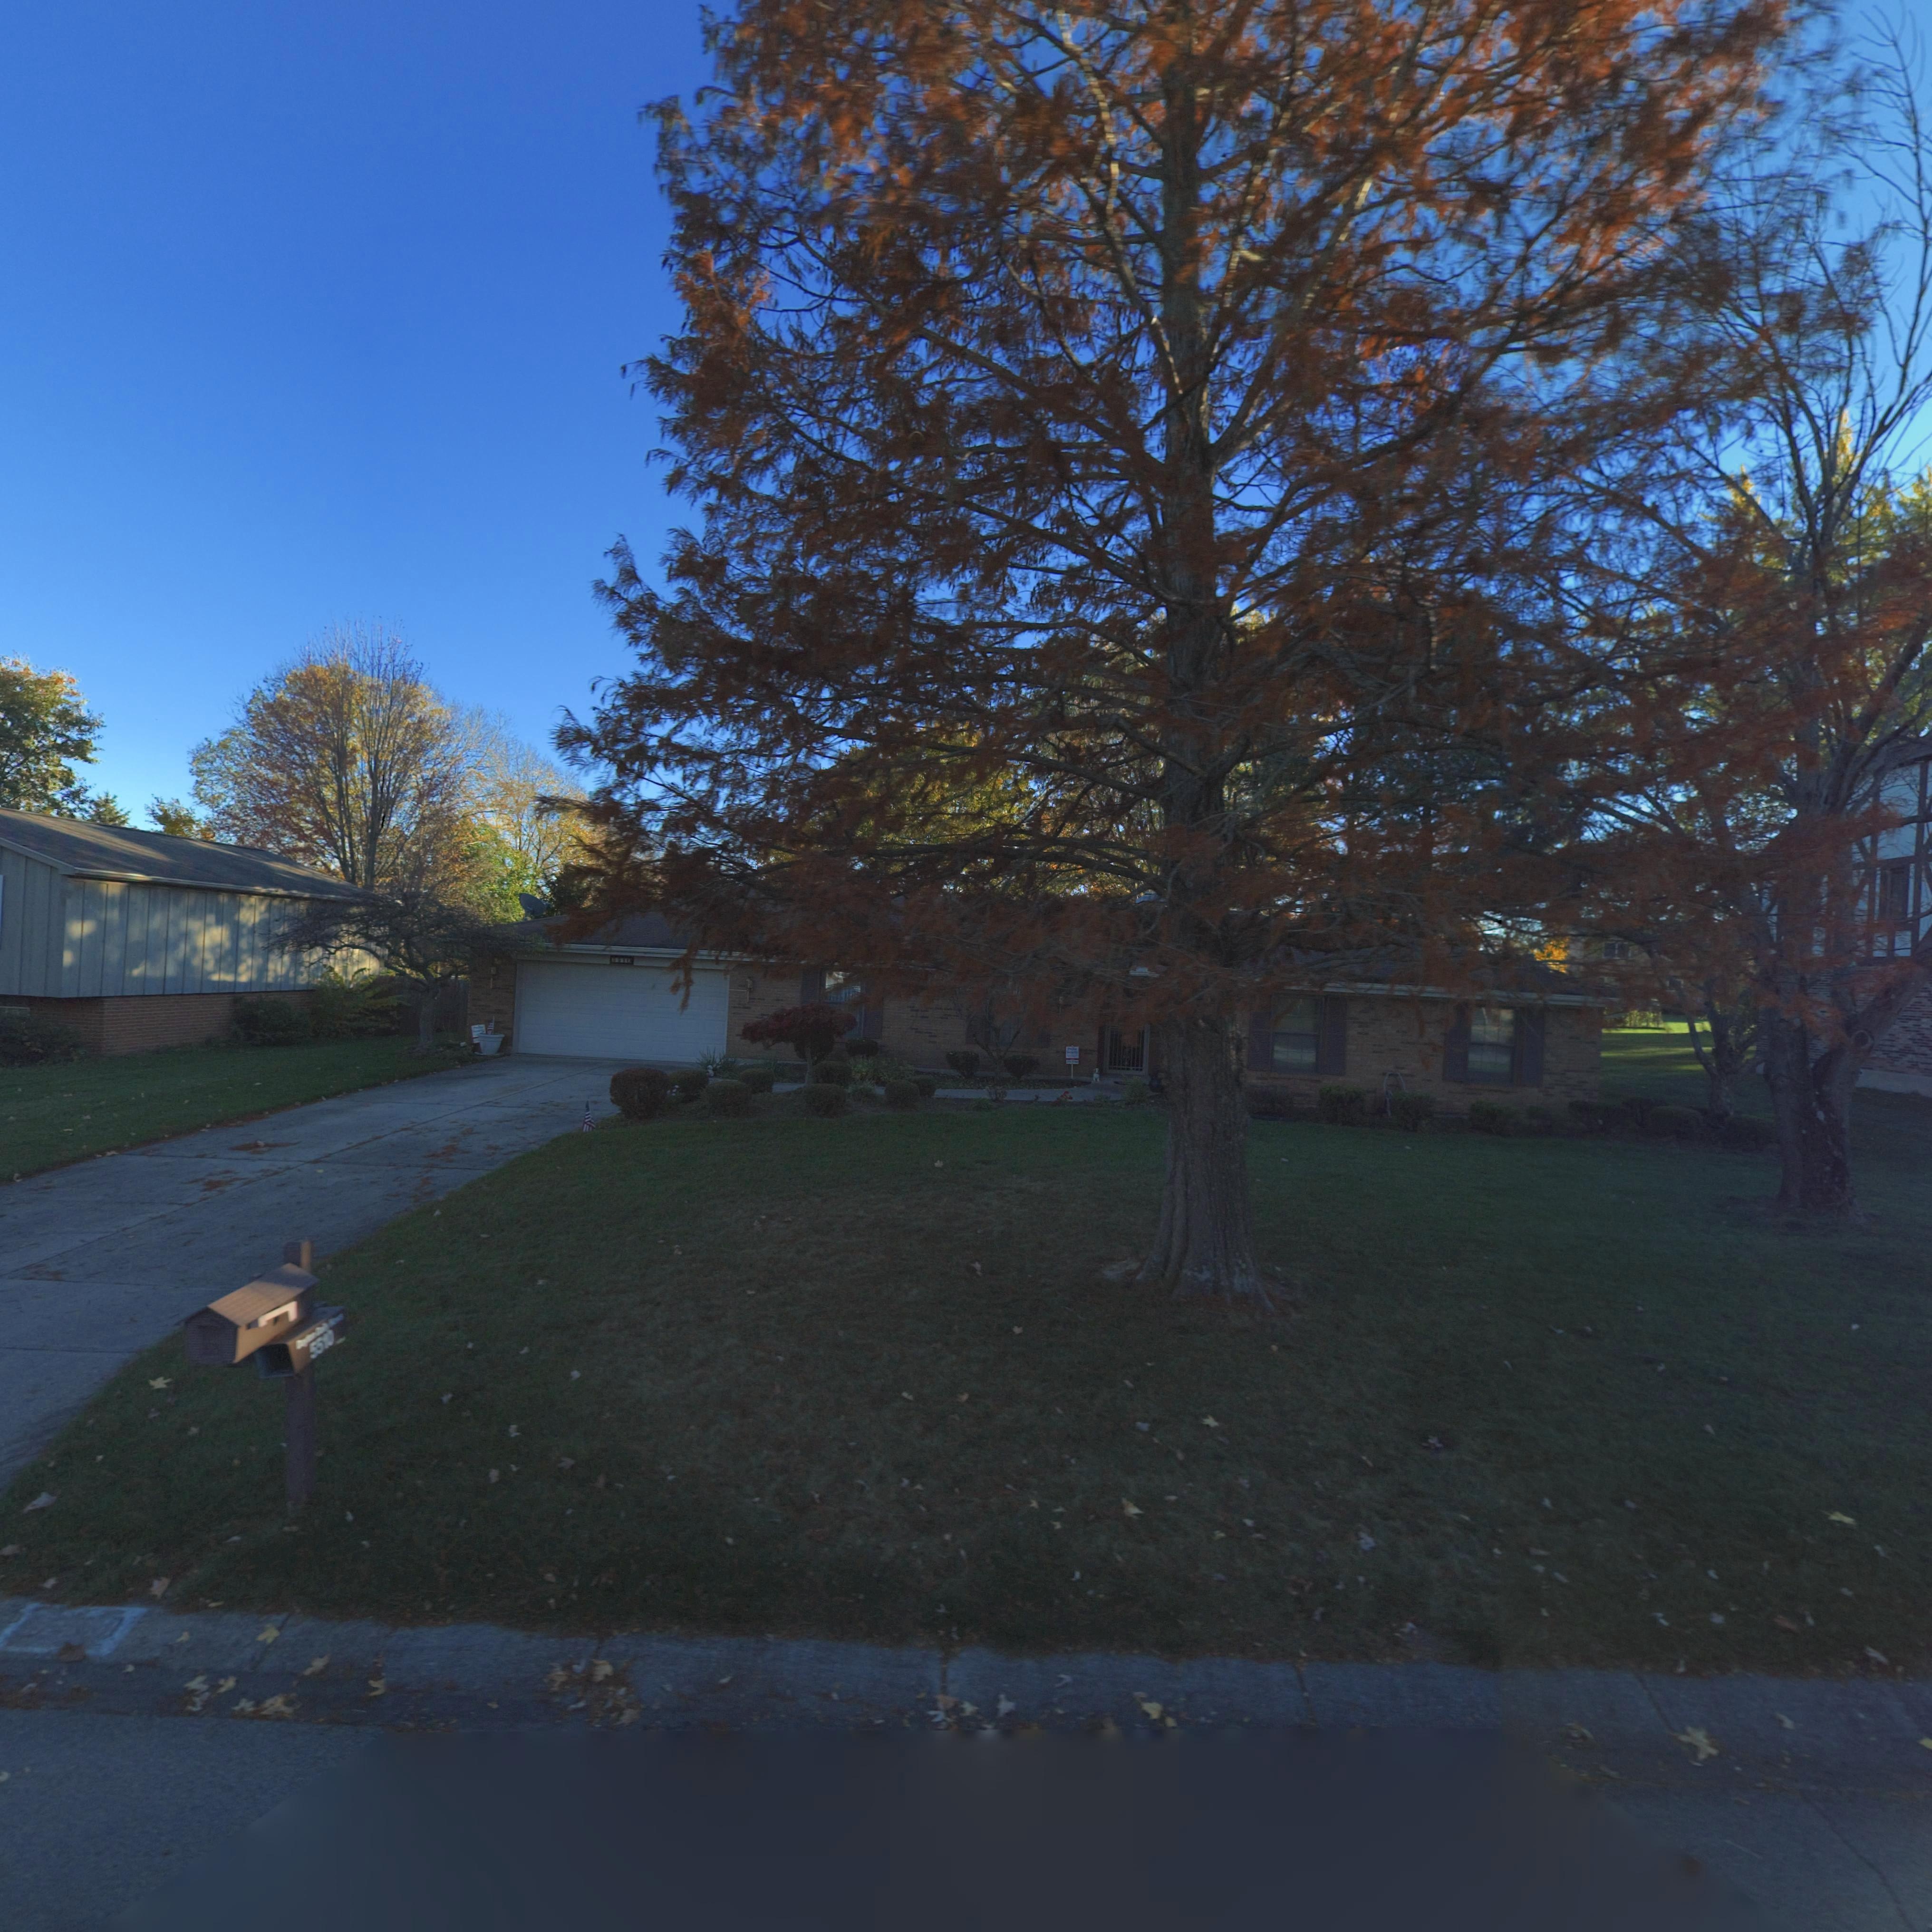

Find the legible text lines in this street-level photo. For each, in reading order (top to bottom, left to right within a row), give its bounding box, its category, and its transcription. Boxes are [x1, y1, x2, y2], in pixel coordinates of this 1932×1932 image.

[610, 956, 632, 965] StreetNumber: **10
[307, 1327, 336, 1361] StreetNumber: 5510